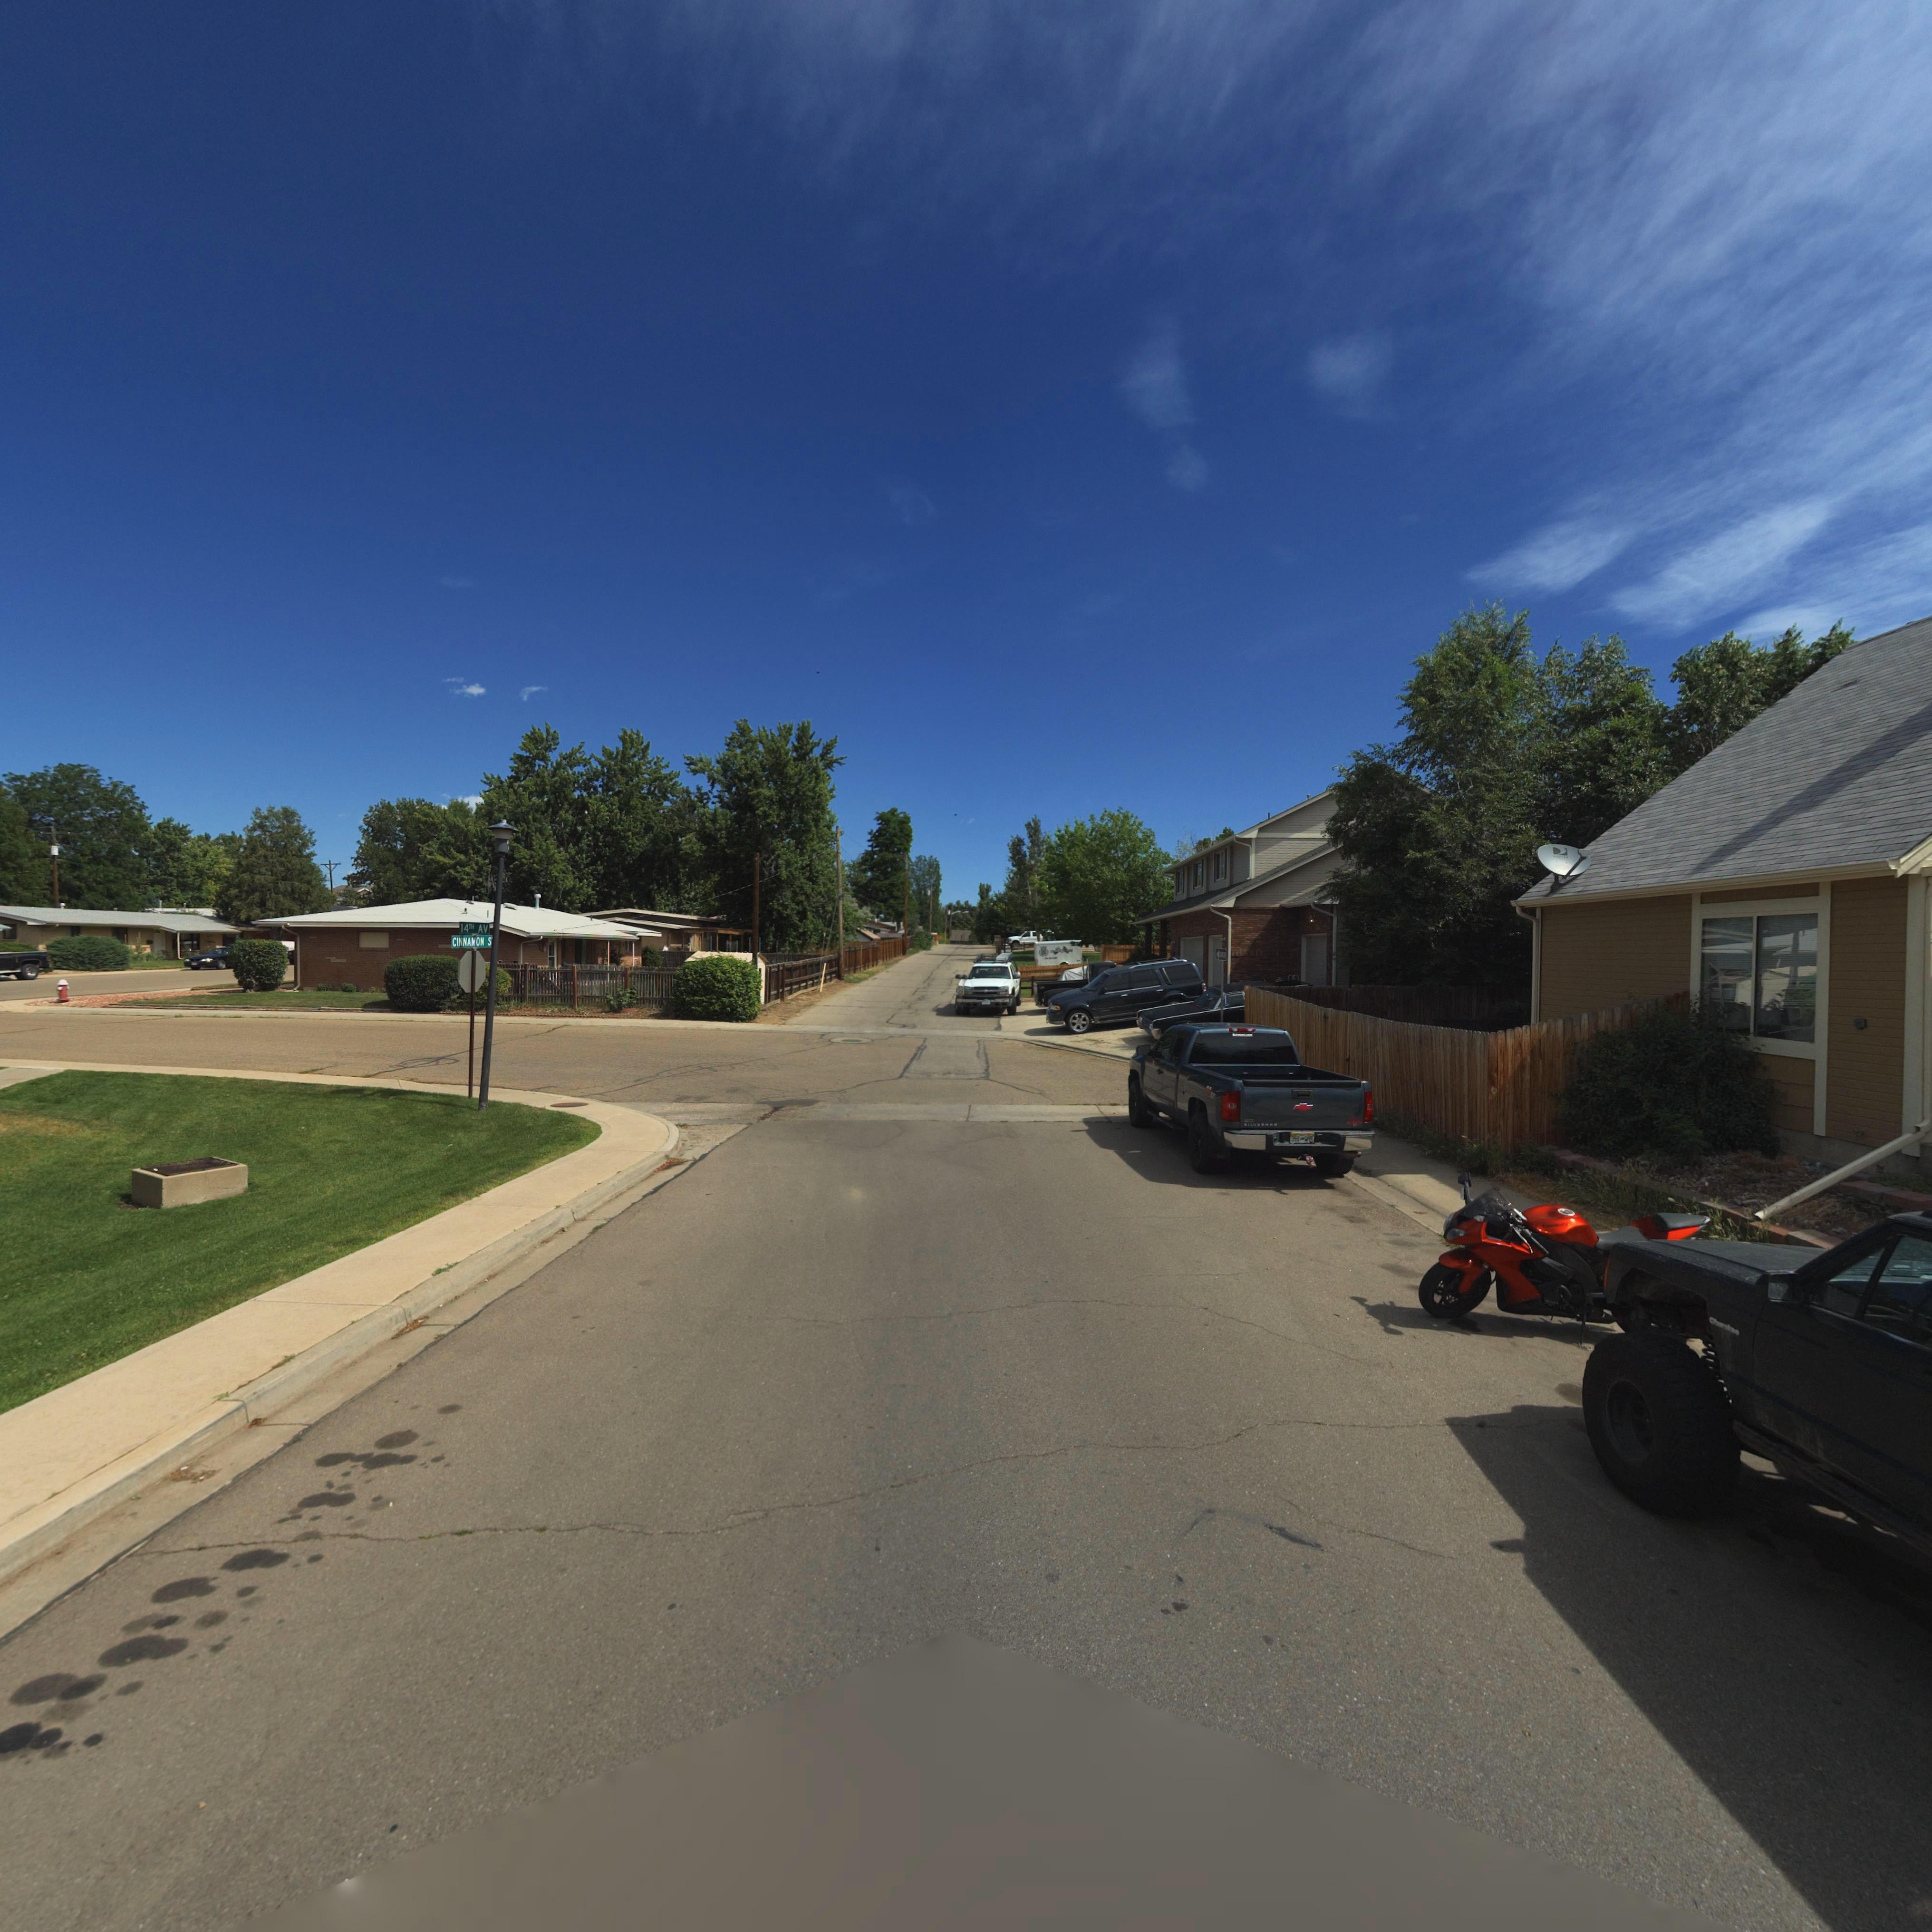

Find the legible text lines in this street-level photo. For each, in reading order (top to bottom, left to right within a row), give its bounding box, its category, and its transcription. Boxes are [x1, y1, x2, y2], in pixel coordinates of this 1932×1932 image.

[460, 923, 488, 933] StreetName: 14TH AV
[452, 937, 492, 947] StreetName: CINNAMON S